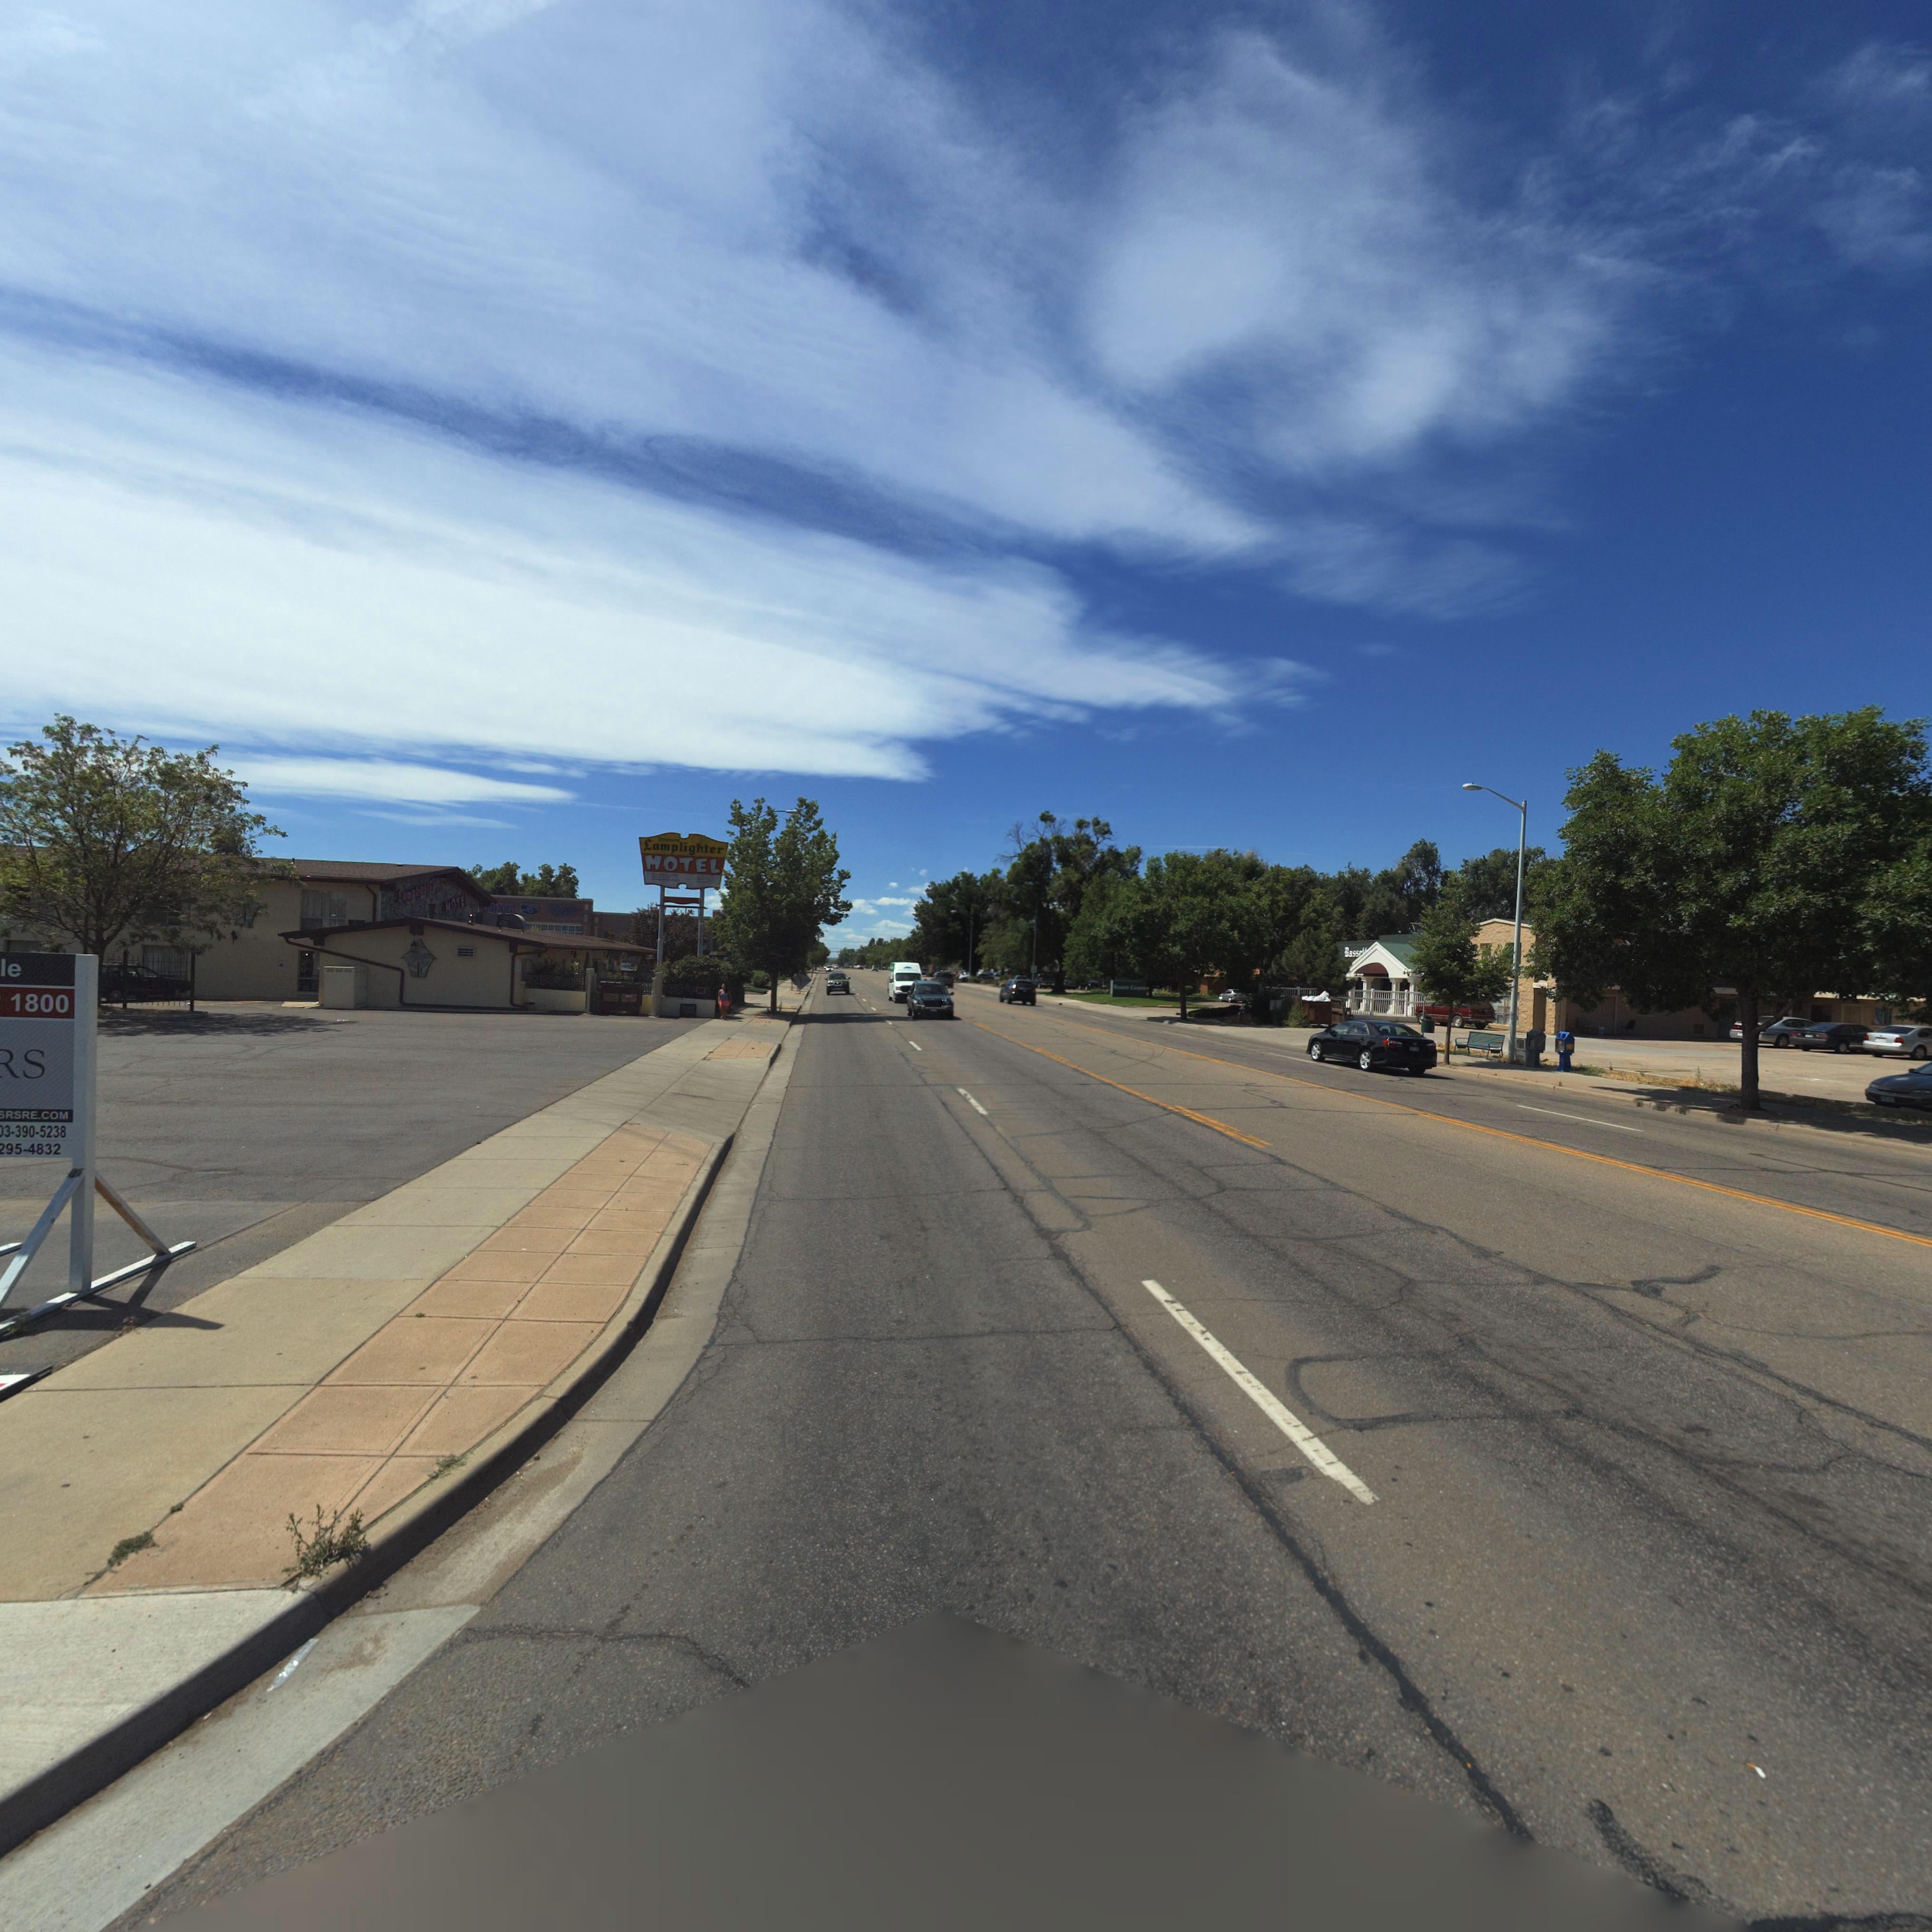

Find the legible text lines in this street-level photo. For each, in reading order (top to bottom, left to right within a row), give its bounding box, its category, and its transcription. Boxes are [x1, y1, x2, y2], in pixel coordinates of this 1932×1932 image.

[657, 836, 681, 842] BusinessName: Lon****t
[643, 838, 725, 856] BusinessName: Lamplighter
[645, 854, 720, 873] BusinessName: MOTEL
[396, 881, 436, 903] BusinessName: Lamplighte*
[445, 893, 470, 915] BusinessName: MOTE*
[484, 902, 540, 916] BusinessName: *IG 5
[708, 951, 727, 956] BusinessName: S*****
[1344, 947, 1359, 957] BusinessName: Bass
[1113, 984, 1146, 991] BusinessName: ******* C*****